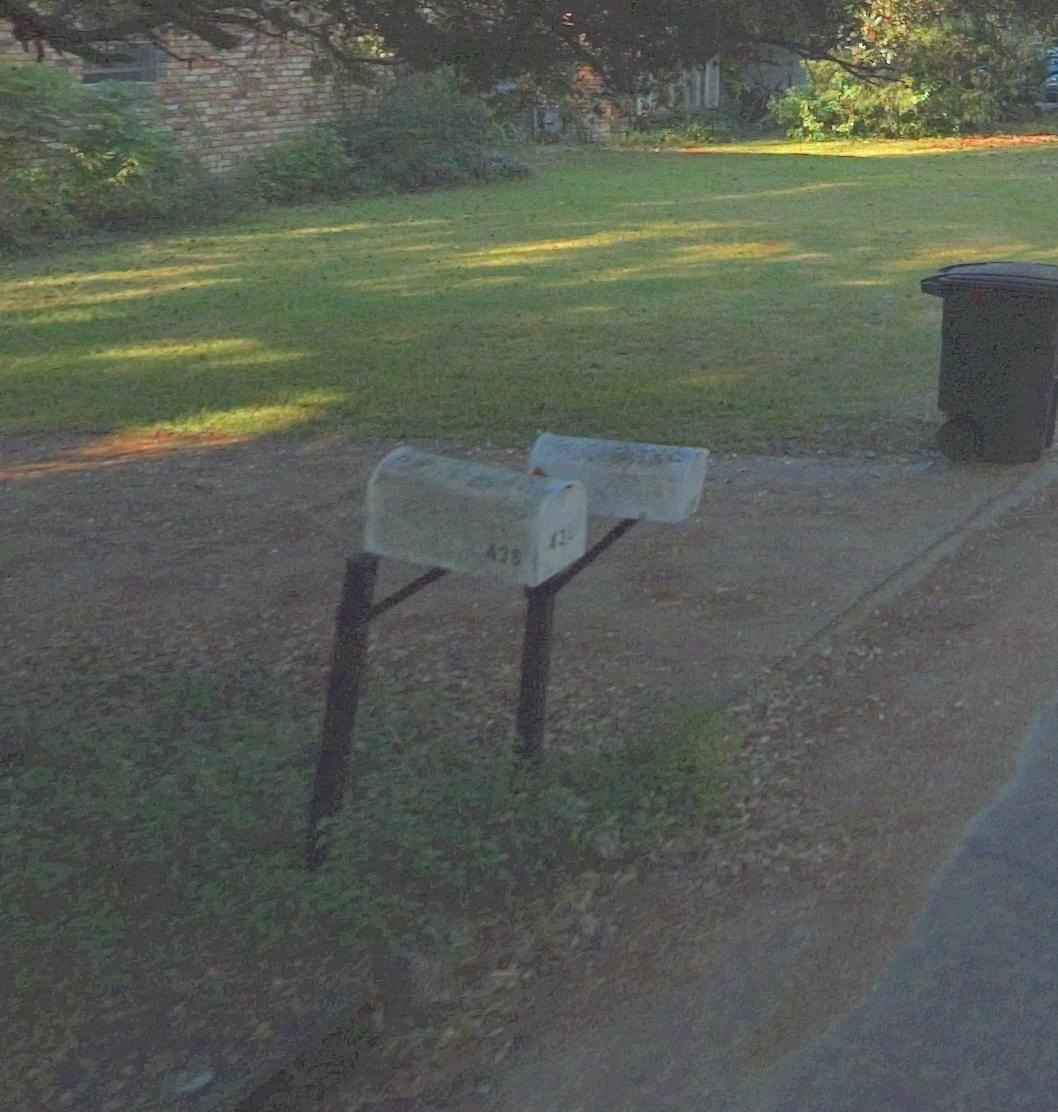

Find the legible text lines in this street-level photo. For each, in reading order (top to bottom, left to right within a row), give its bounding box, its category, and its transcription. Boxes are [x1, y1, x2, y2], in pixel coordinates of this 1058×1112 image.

[482, 538, 526, 571] StreetNumber: 438